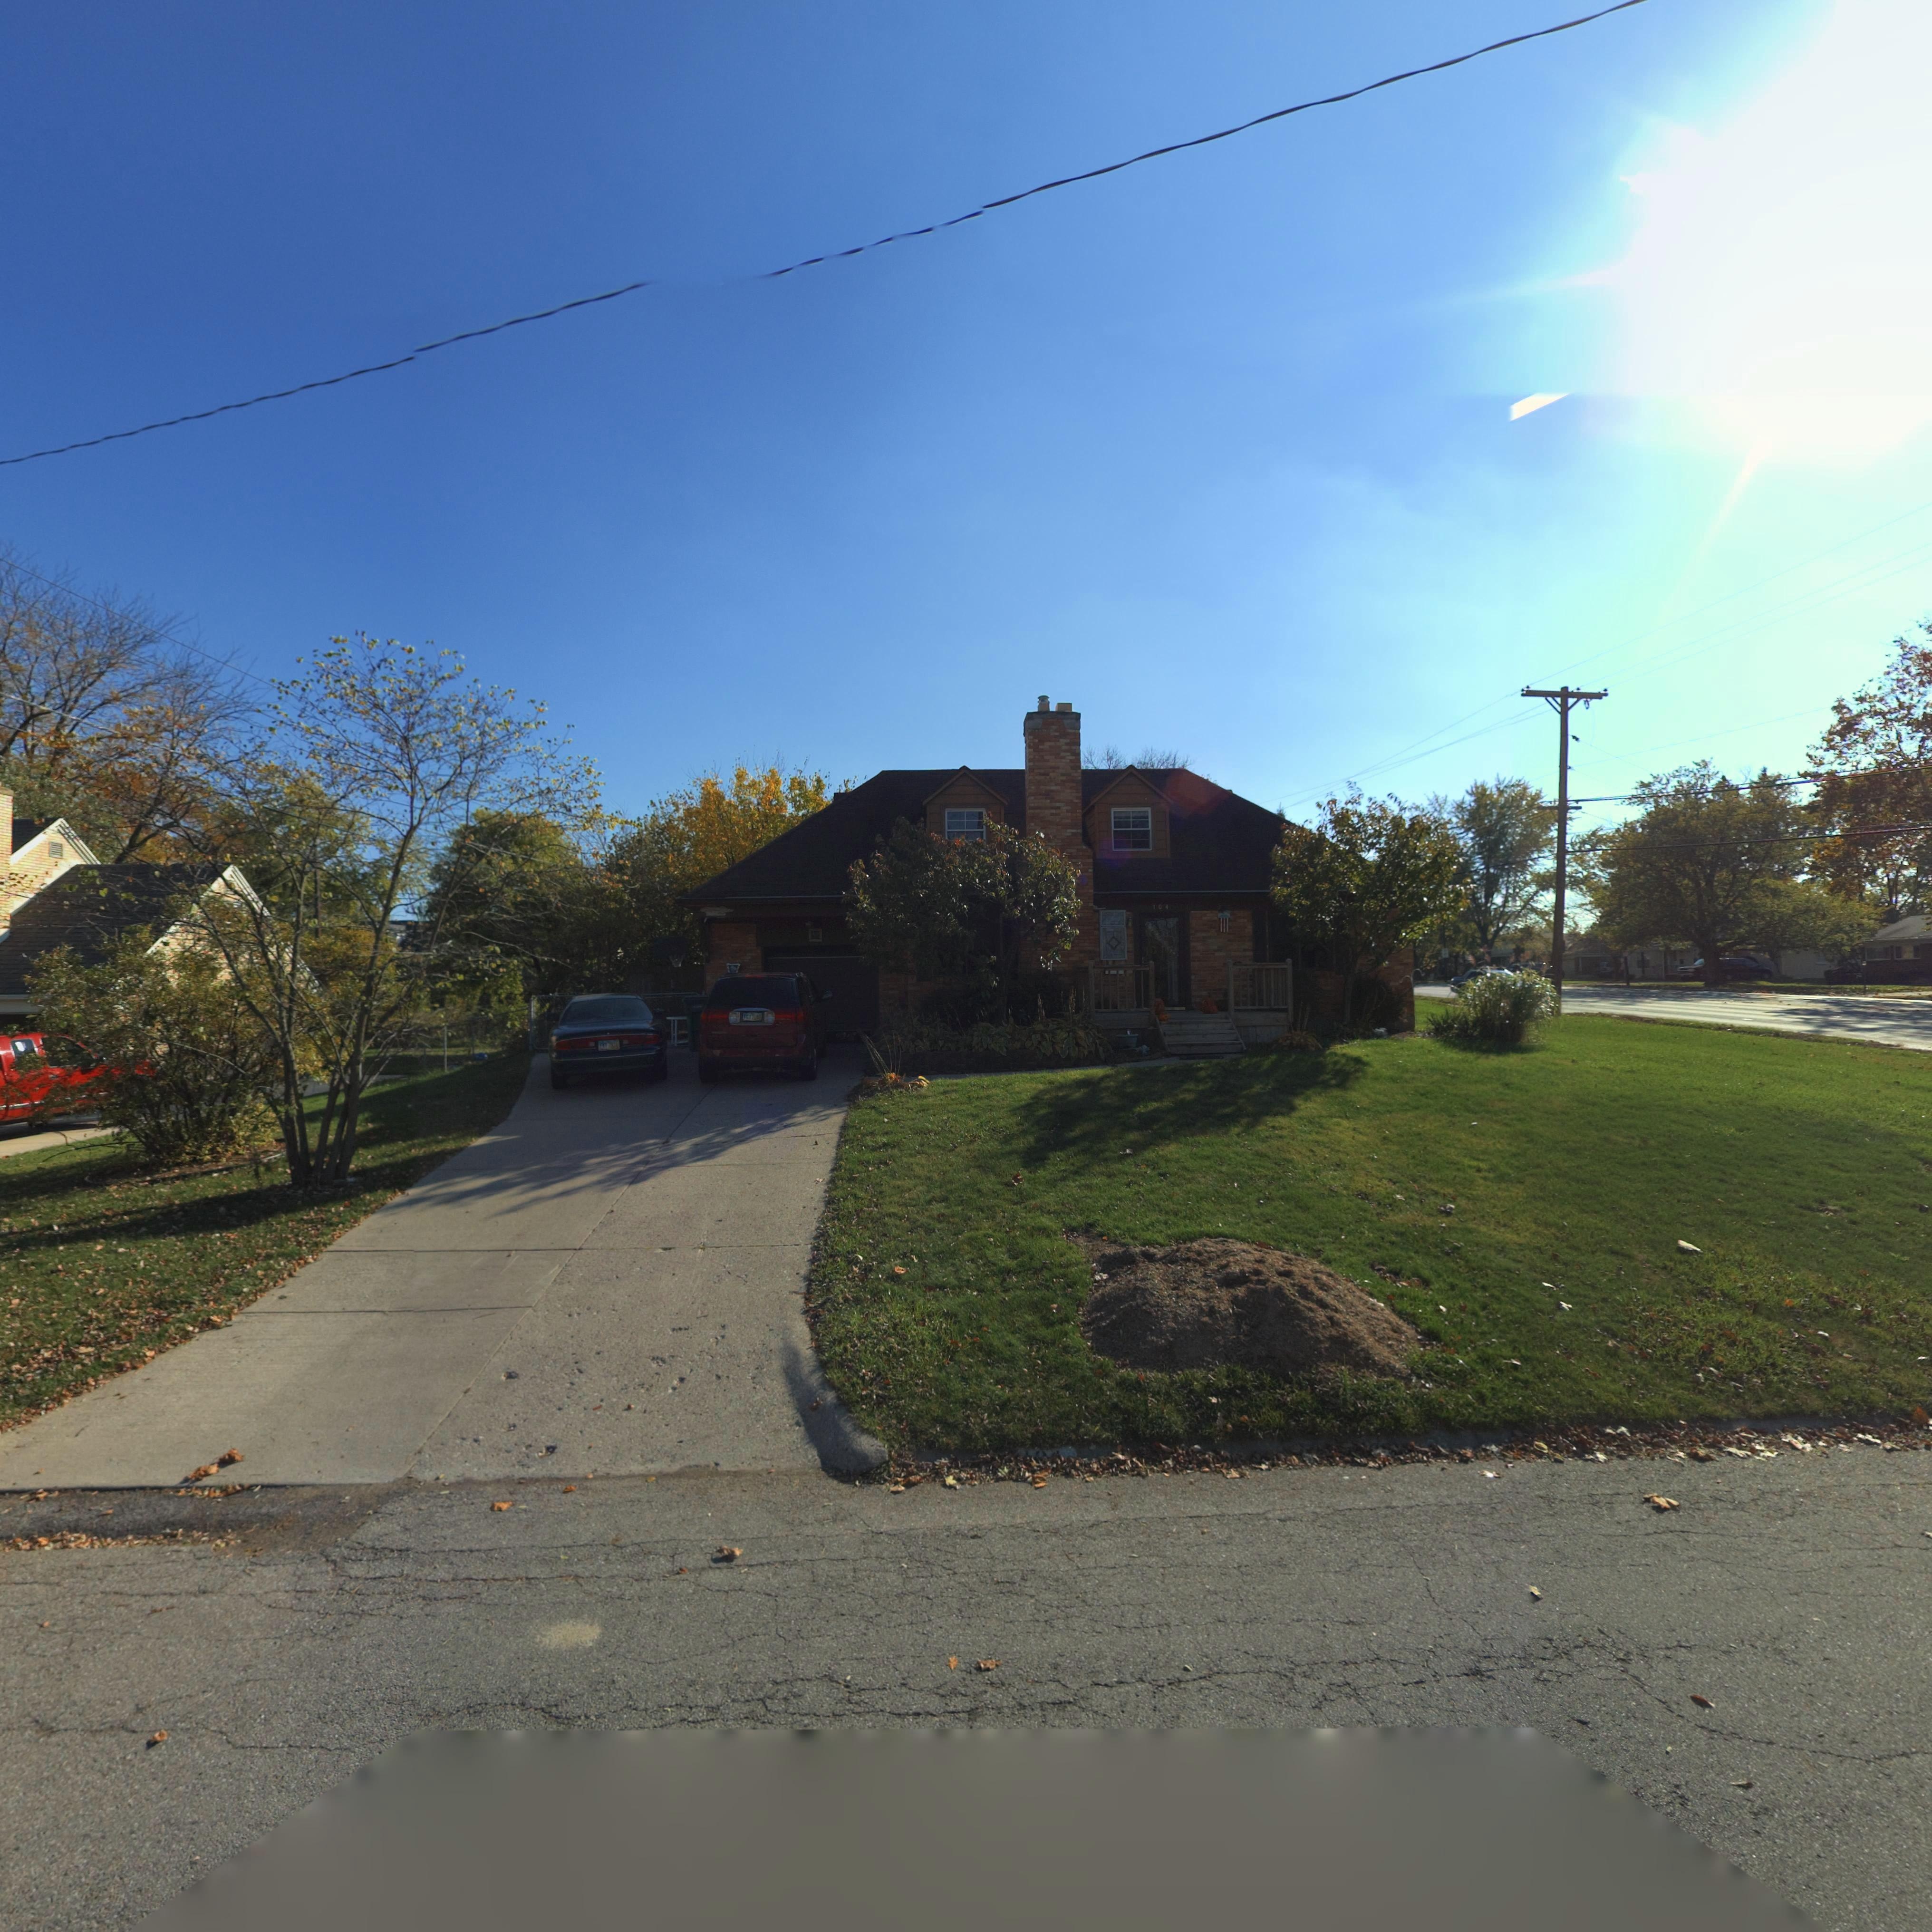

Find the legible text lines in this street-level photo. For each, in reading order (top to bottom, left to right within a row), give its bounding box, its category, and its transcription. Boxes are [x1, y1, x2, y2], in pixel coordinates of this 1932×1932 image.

[1152, 903, 1169, 911] StreetNumber: 104